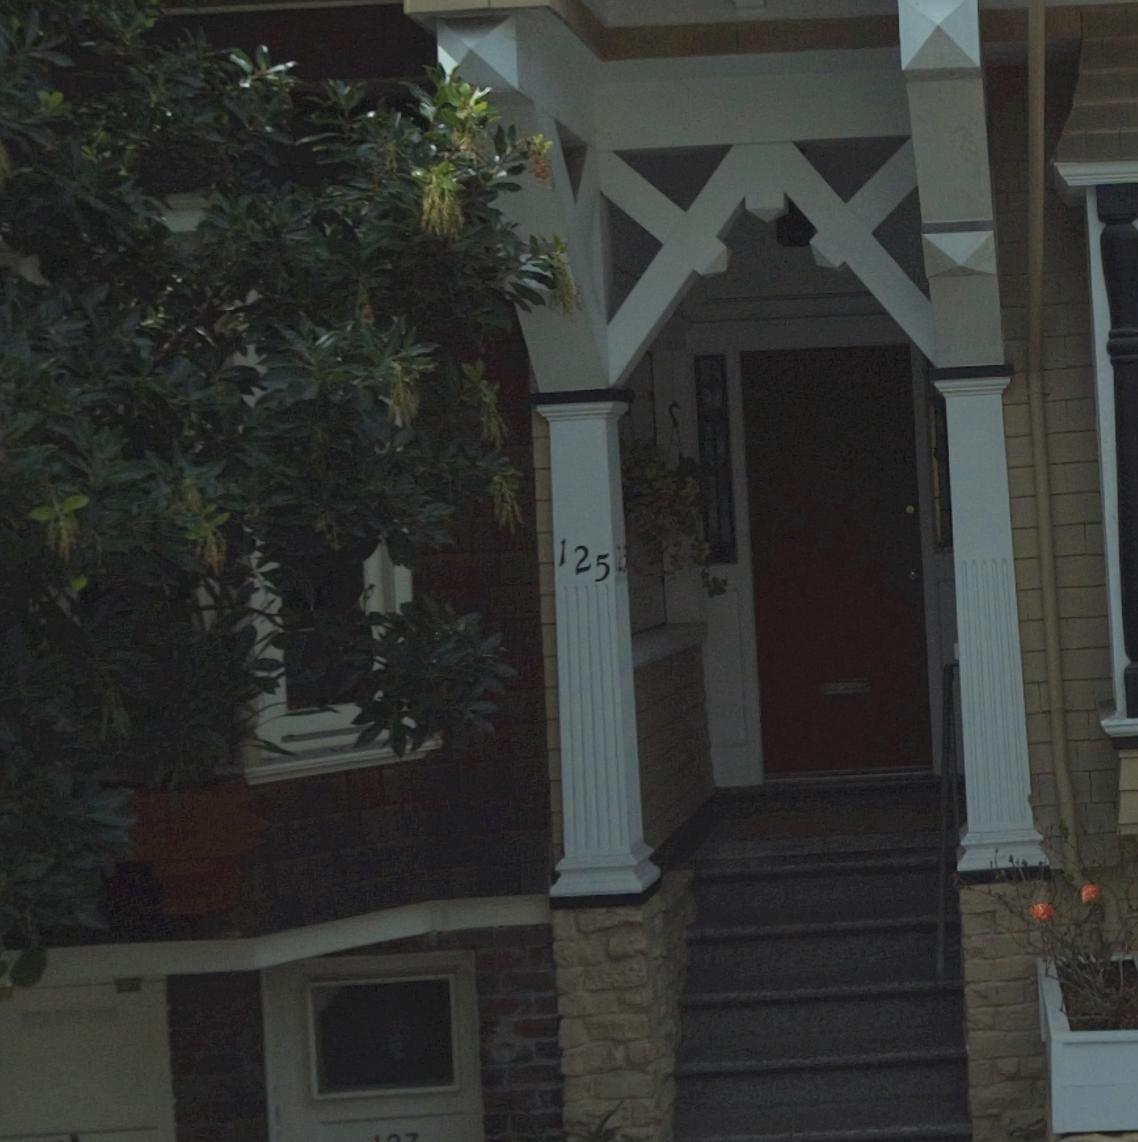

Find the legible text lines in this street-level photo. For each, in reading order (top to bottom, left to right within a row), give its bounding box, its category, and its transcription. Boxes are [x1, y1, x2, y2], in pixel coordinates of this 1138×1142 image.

[553, 532, 614, 587] StreetNumber: 125